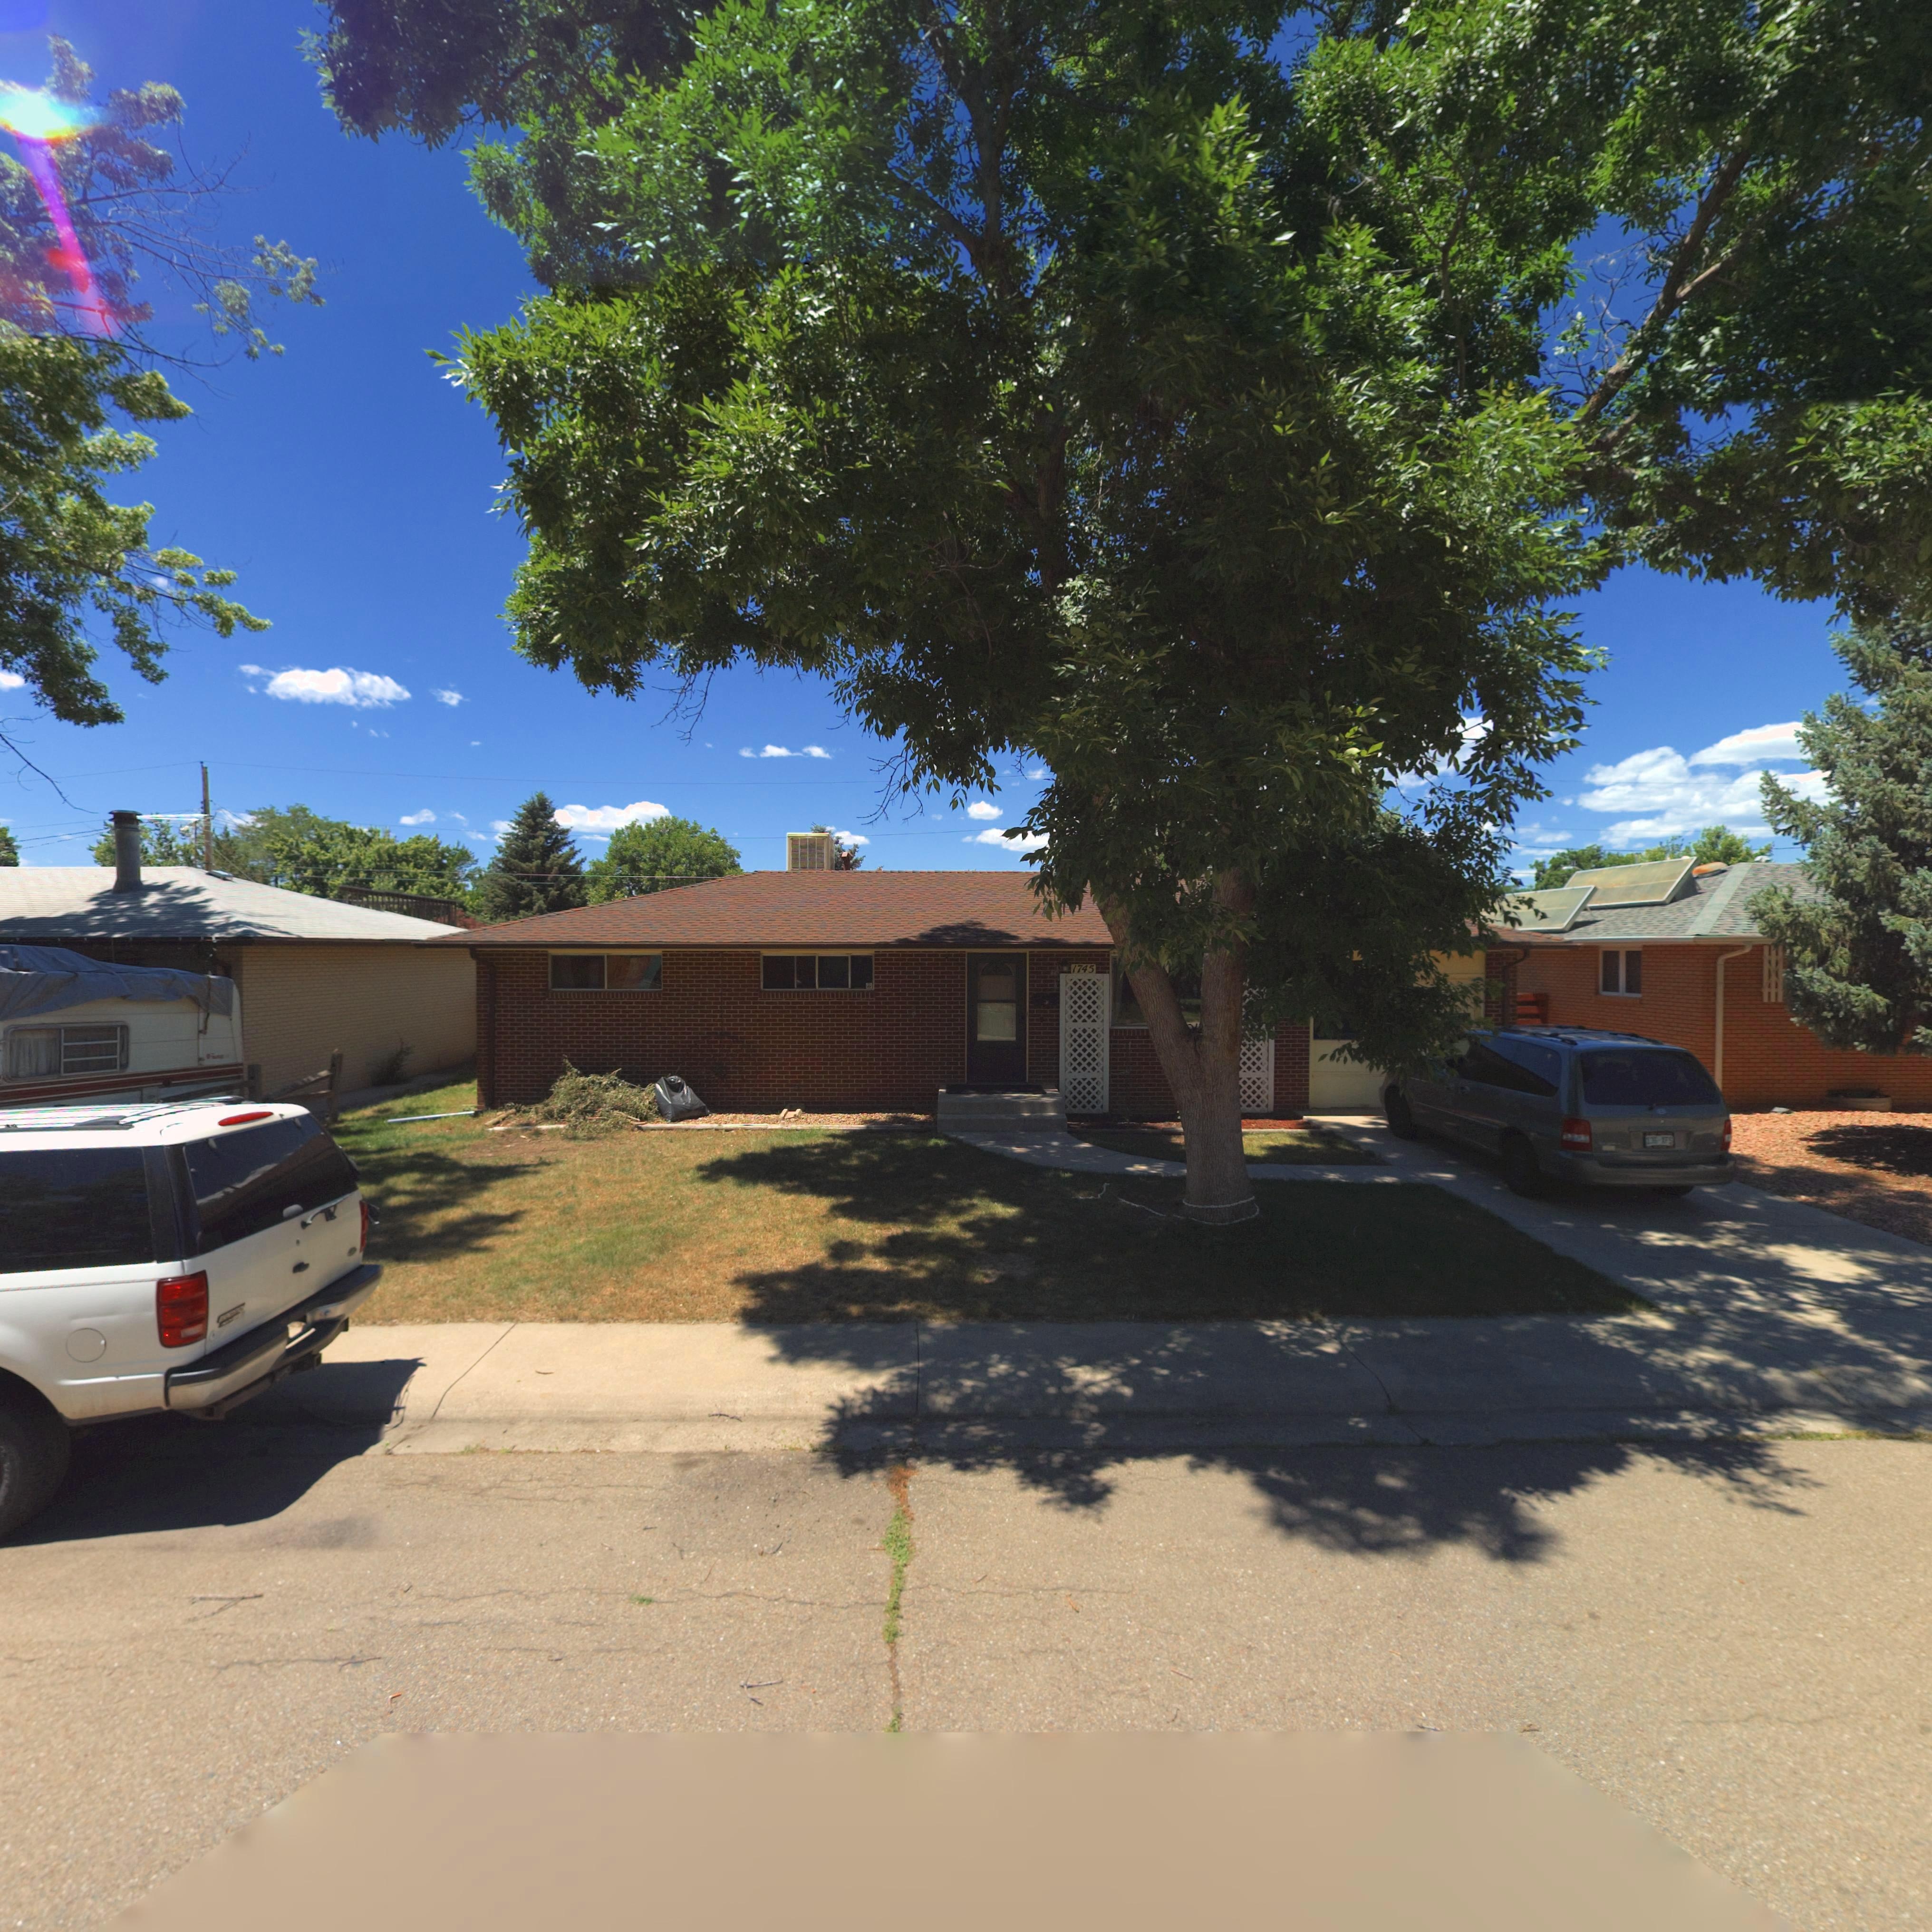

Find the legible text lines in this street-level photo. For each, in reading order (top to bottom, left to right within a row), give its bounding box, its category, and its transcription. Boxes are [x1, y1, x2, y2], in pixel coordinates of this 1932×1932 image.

[1072, 964, 1094, 973] StreetNumber: 1745